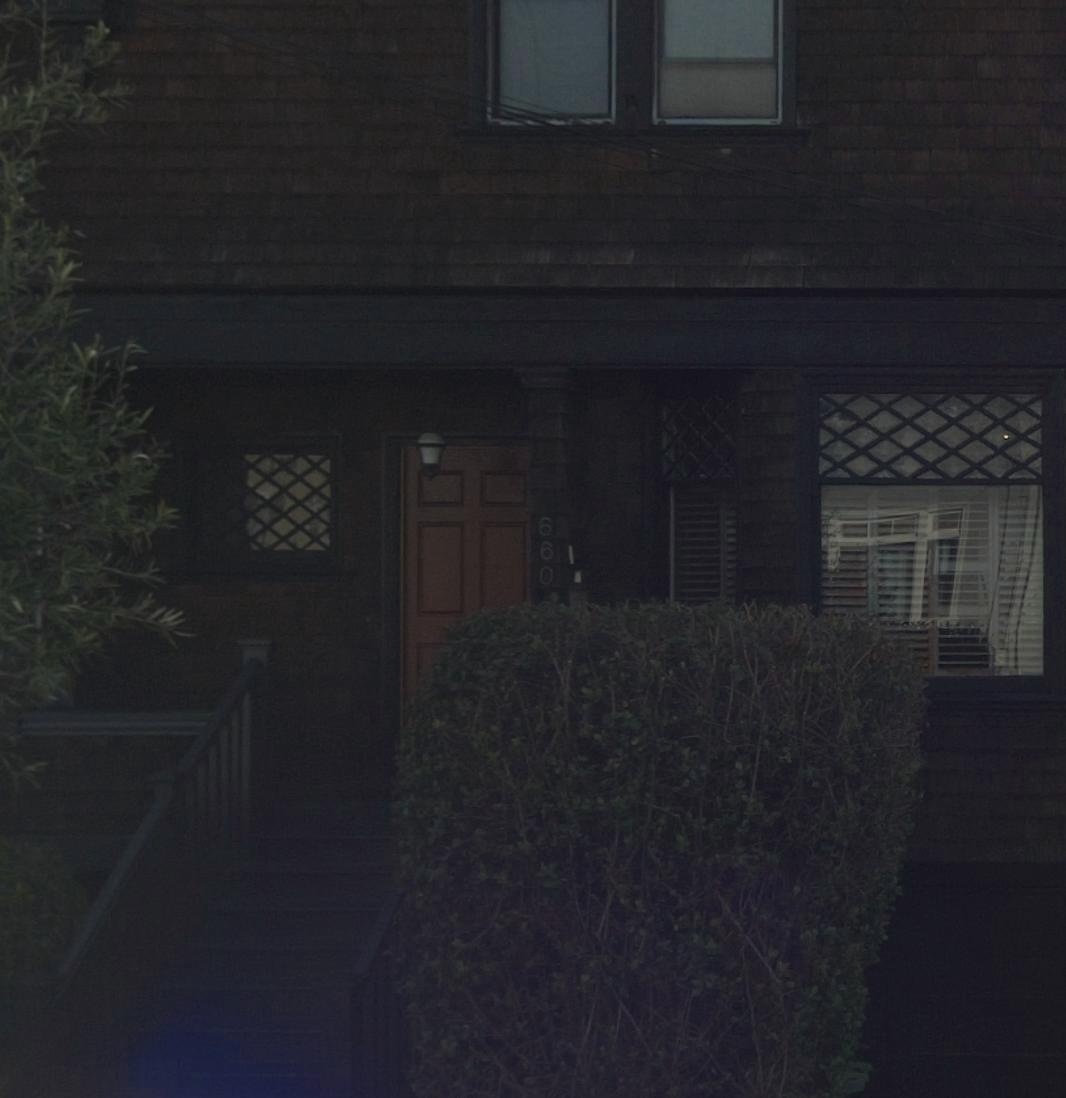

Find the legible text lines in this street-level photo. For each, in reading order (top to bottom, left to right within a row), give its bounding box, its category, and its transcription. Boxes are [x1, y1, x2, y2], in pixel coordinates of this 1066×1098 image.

[537, 512, 556, 588] StreetNumber: 660